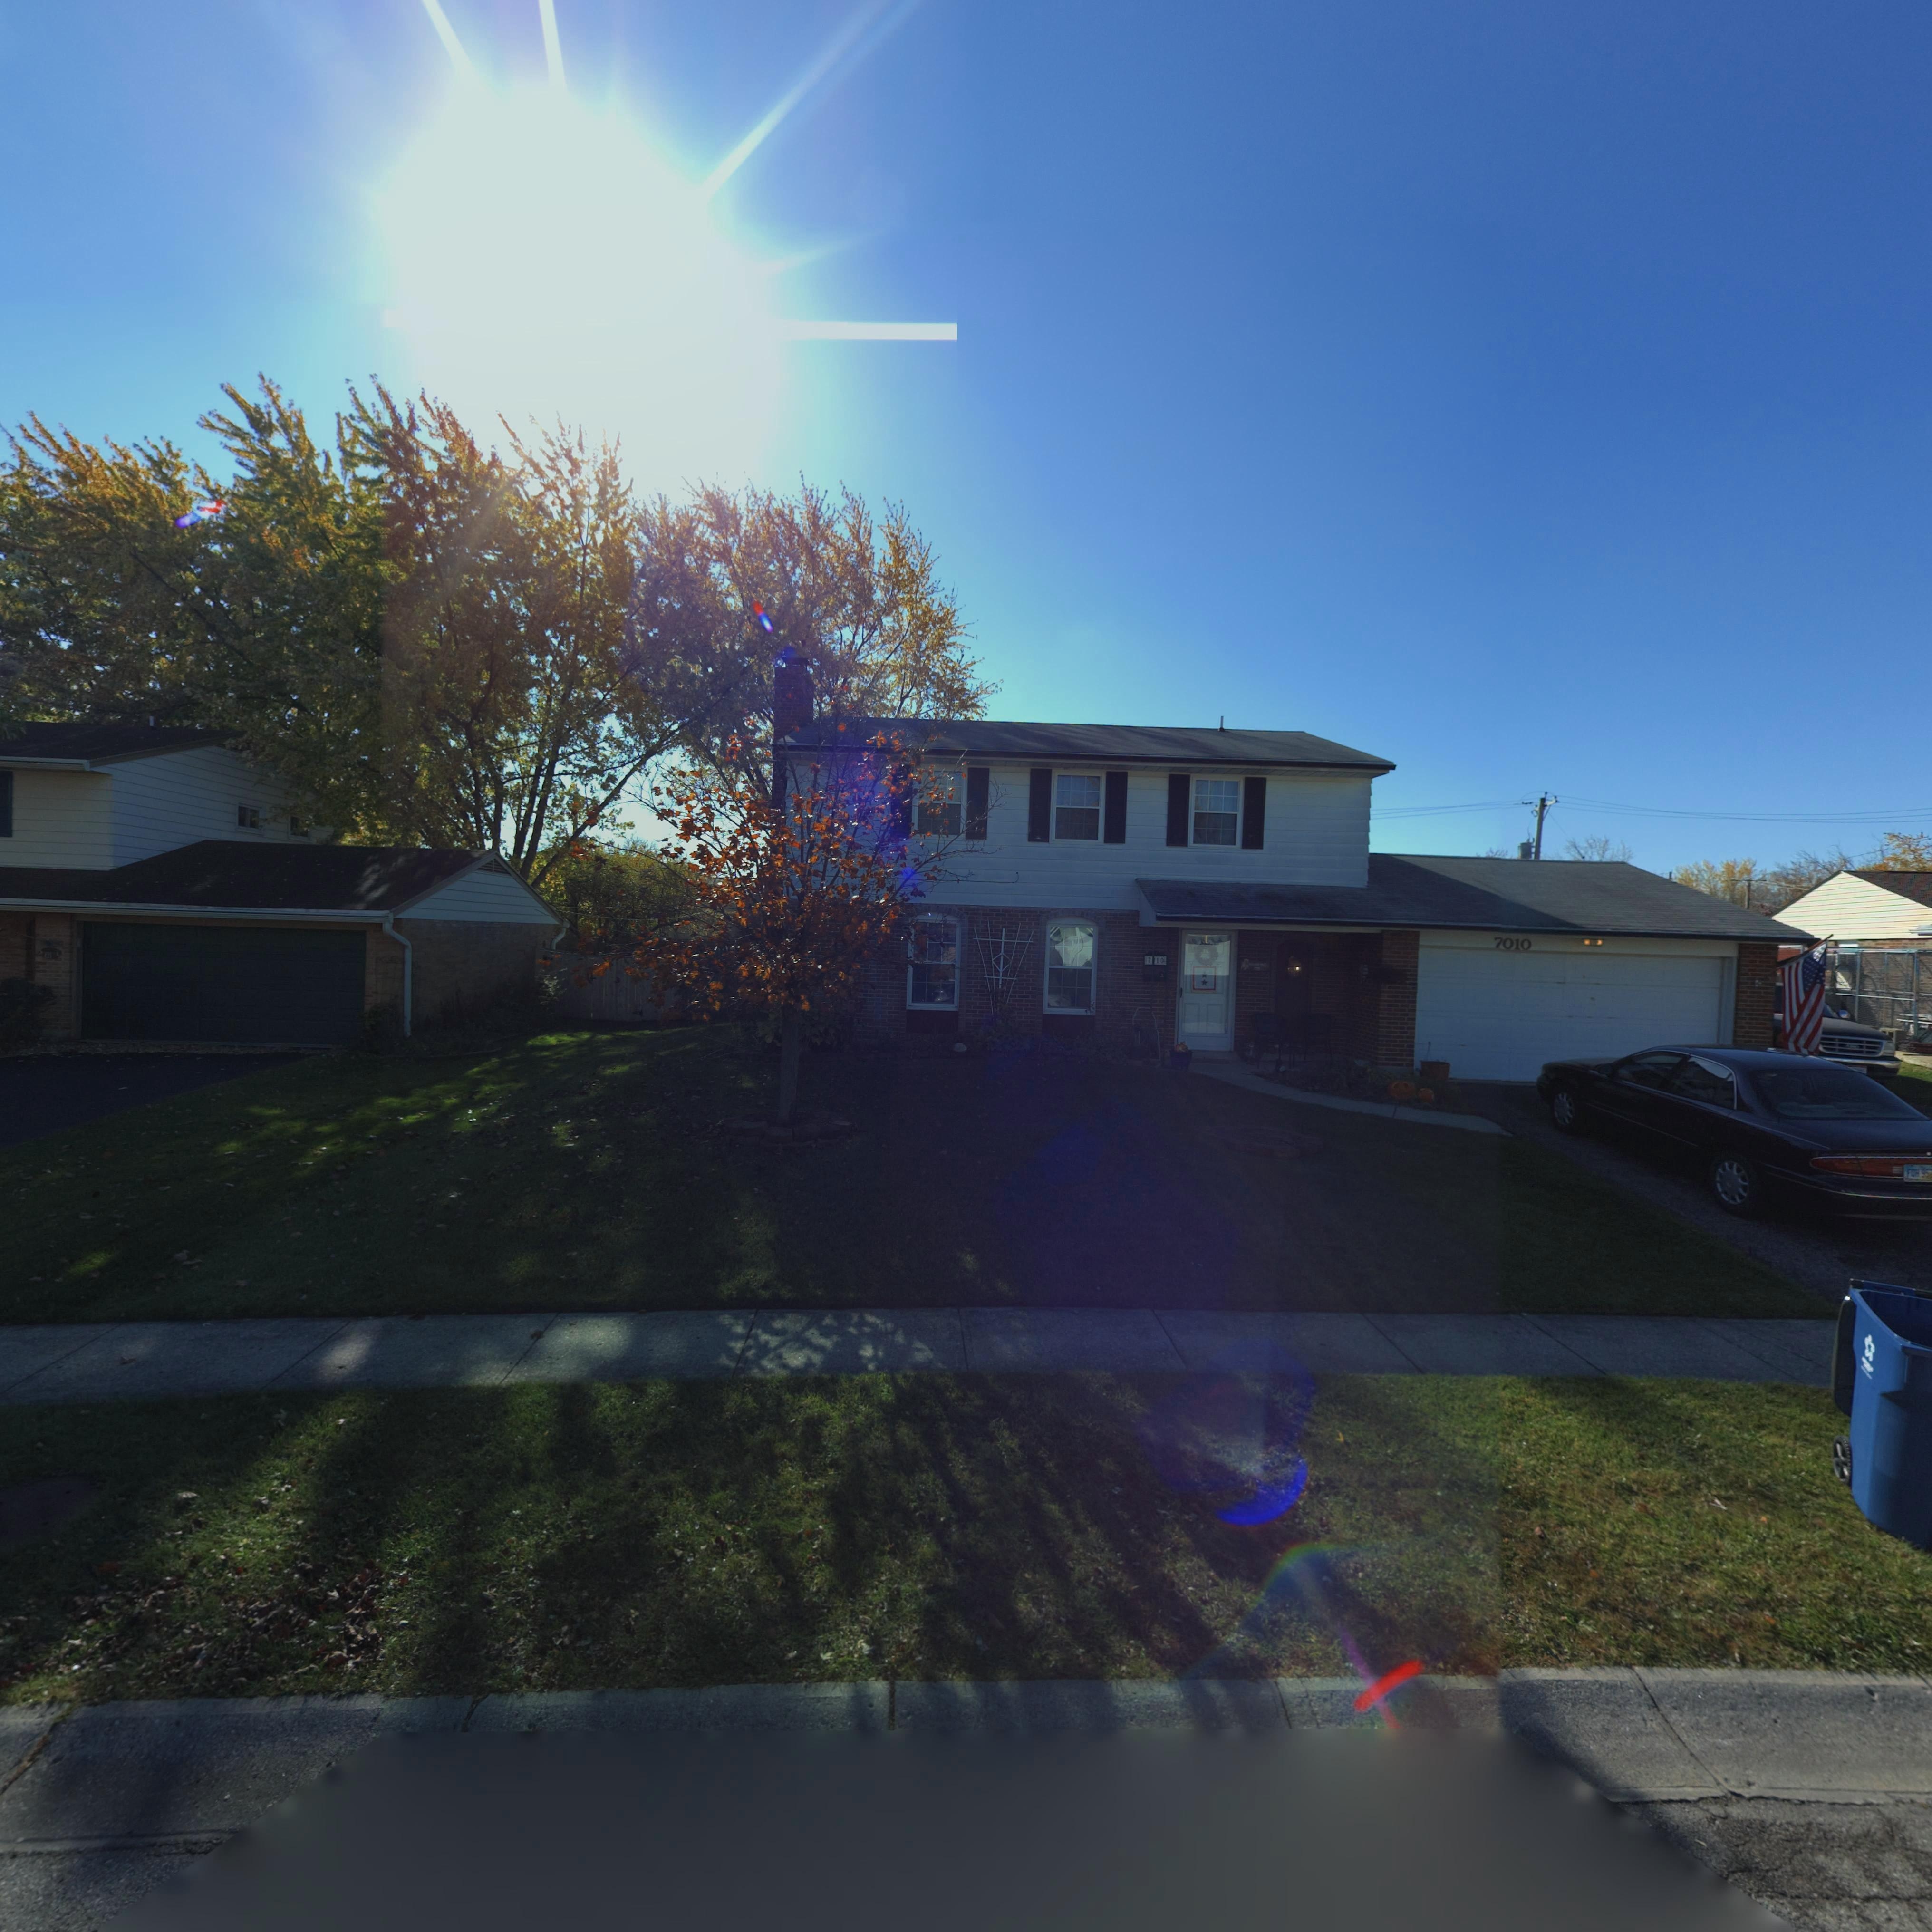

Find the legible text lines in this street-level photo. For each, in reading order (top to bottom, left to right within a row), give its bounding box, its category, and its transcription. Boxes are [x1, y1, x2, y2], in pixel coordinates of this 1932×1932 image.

[1494, 936, 1532, 951] StreetNumber: 7010
[1147, 957, 1164, 964] StreetNumber: 7*10